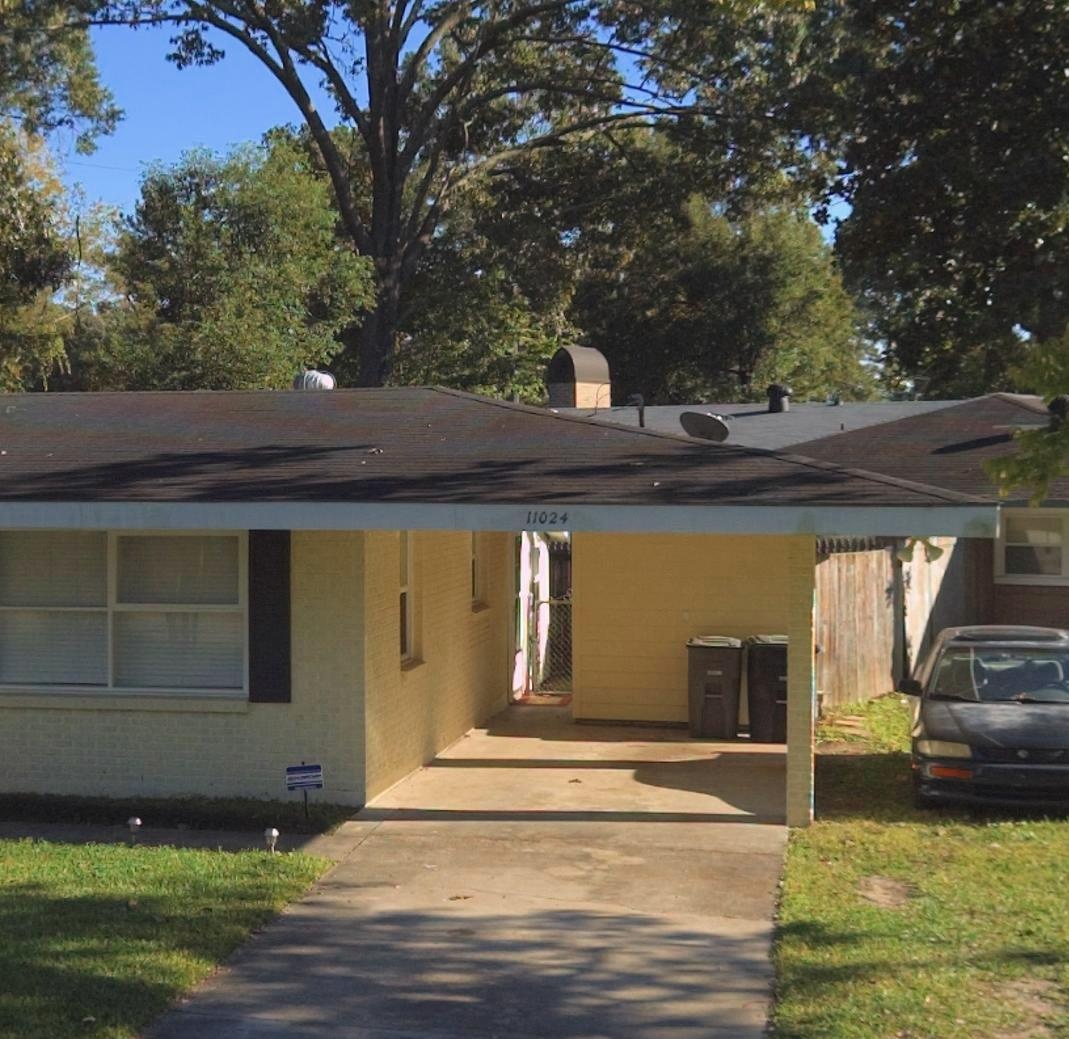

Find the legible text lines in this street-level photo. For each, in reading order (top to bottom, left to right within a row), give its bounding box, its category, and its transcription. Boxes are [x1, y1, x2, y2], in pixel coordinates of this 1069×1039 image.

[525, 510, 569, 525] StreetNumber: 11024